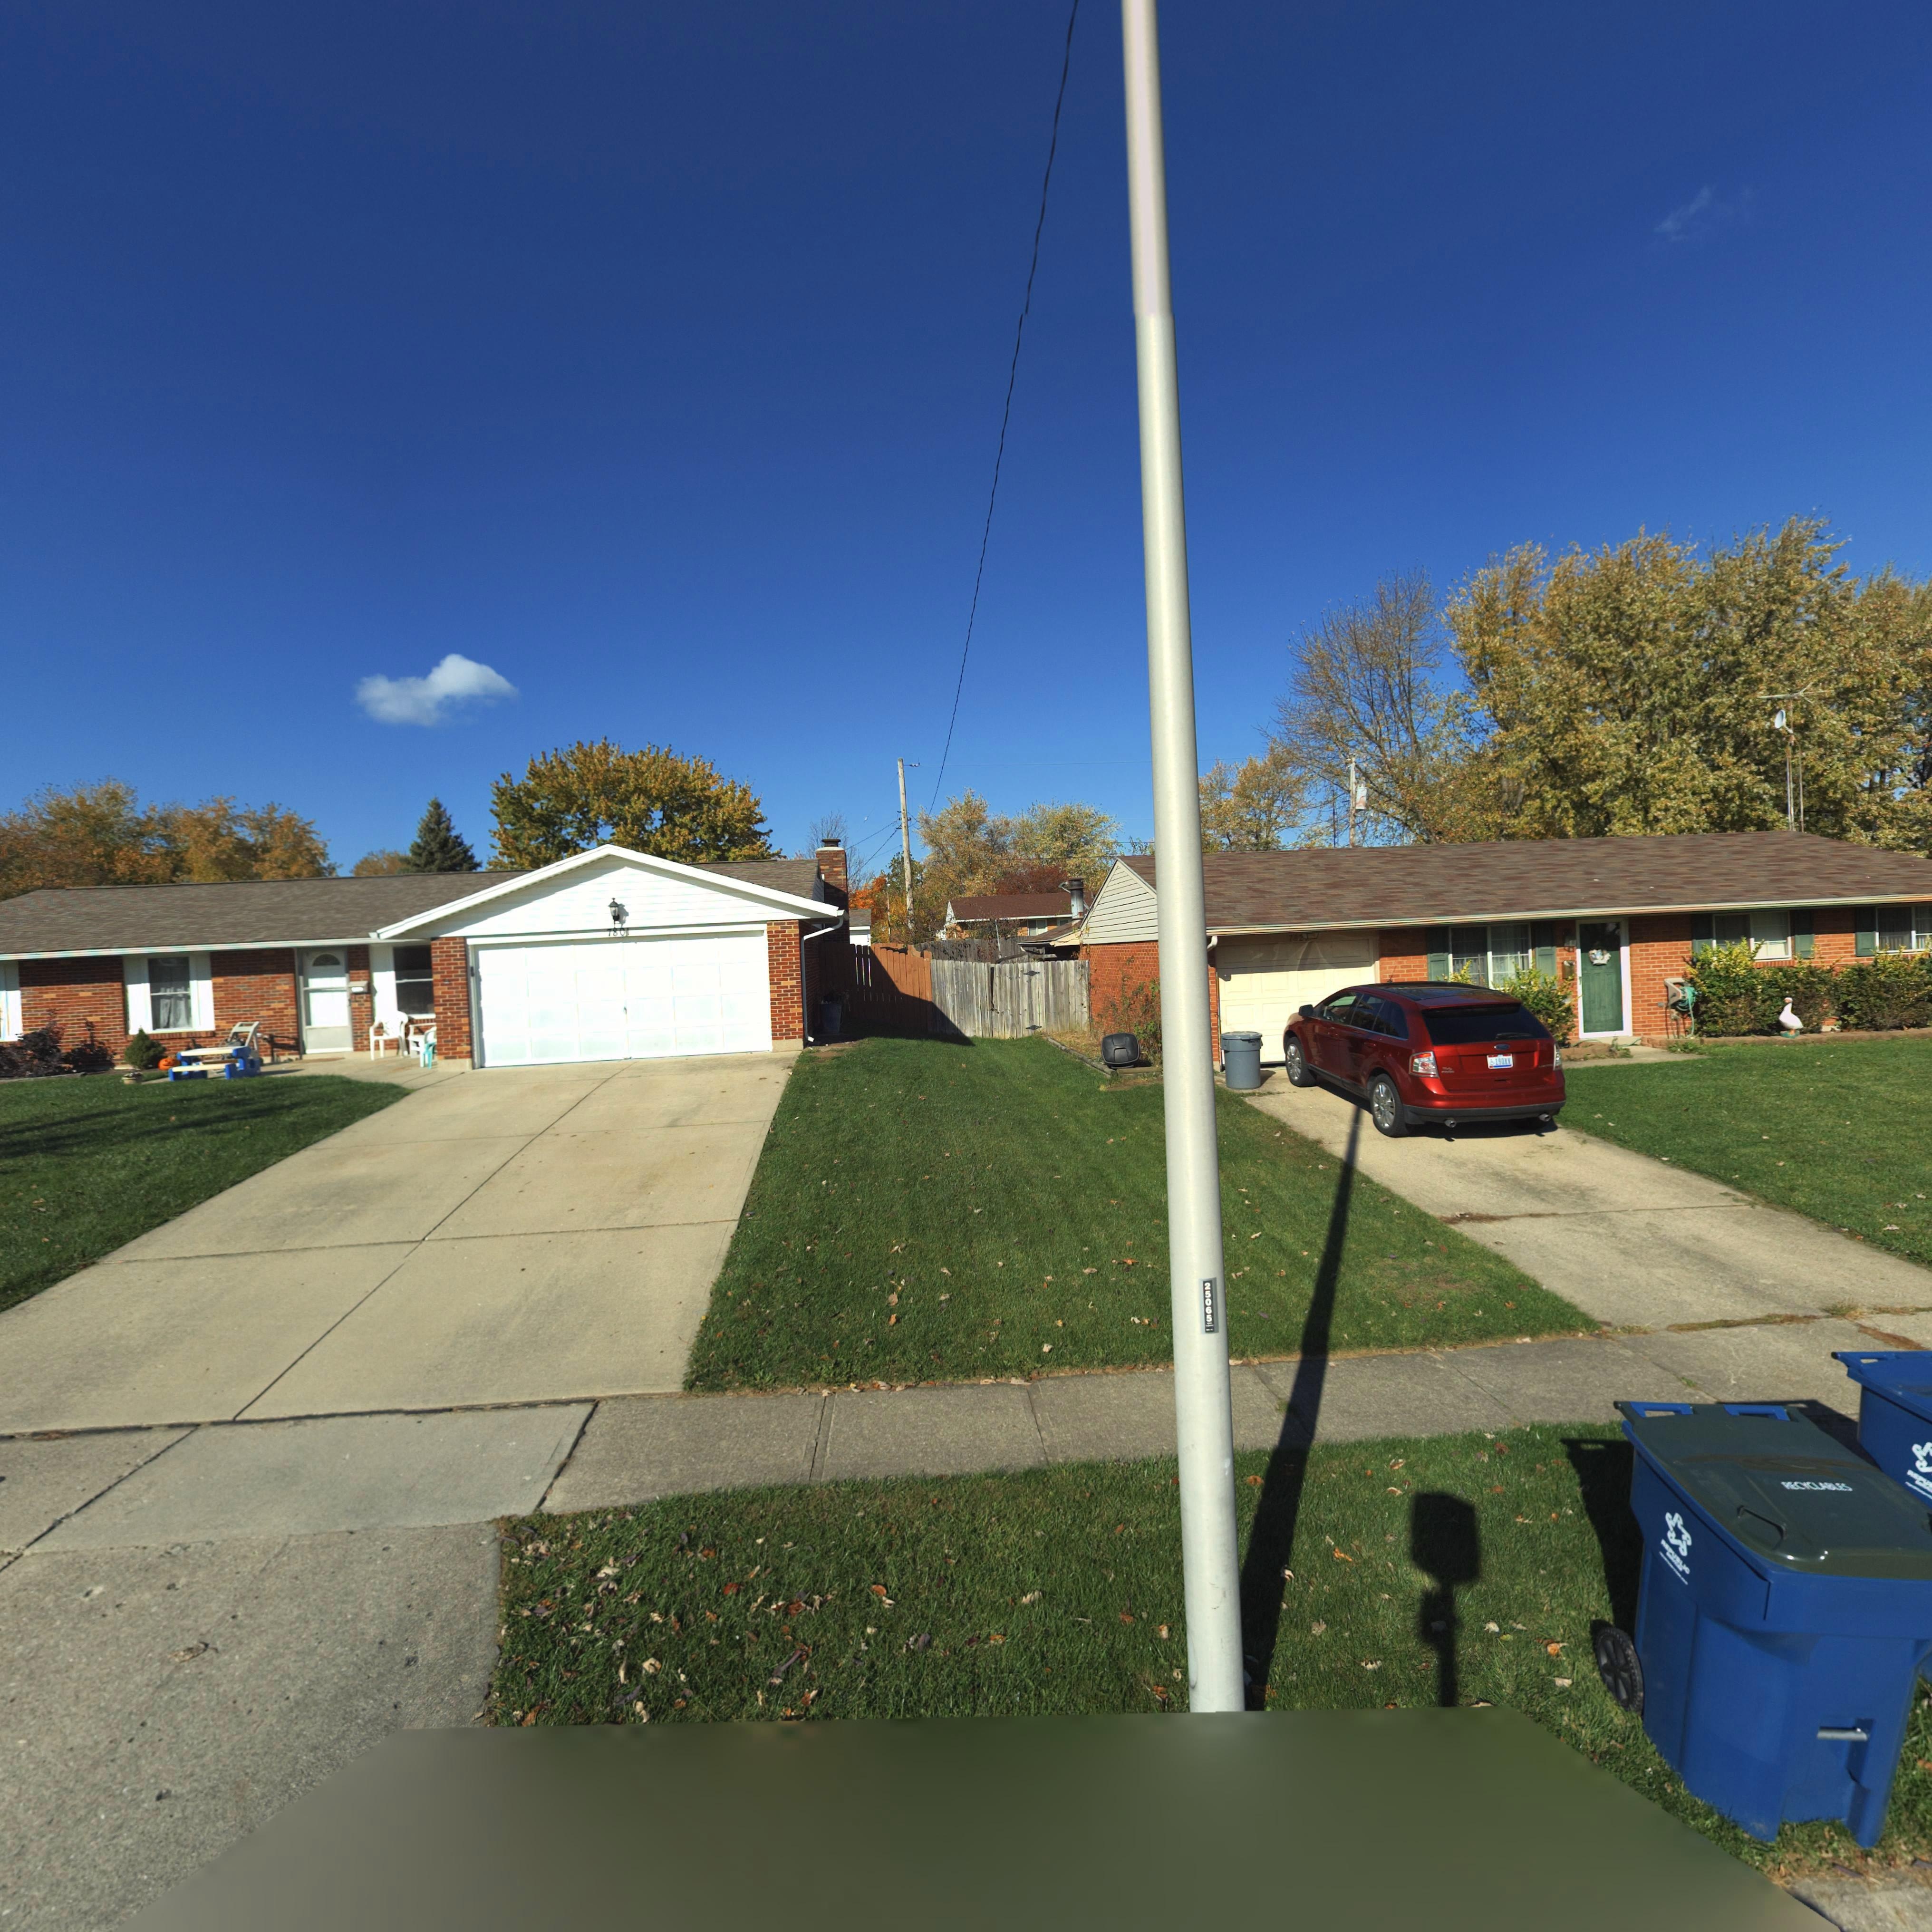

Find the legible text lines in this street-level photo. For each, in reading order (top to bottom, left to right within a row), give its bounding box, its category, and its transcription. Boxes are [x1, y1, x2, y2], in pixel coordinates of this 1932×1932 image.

[605, 927, 630, 938] StreetNumber: 780*
[1287, 934, 1304, 943] StreetNumber: 78*